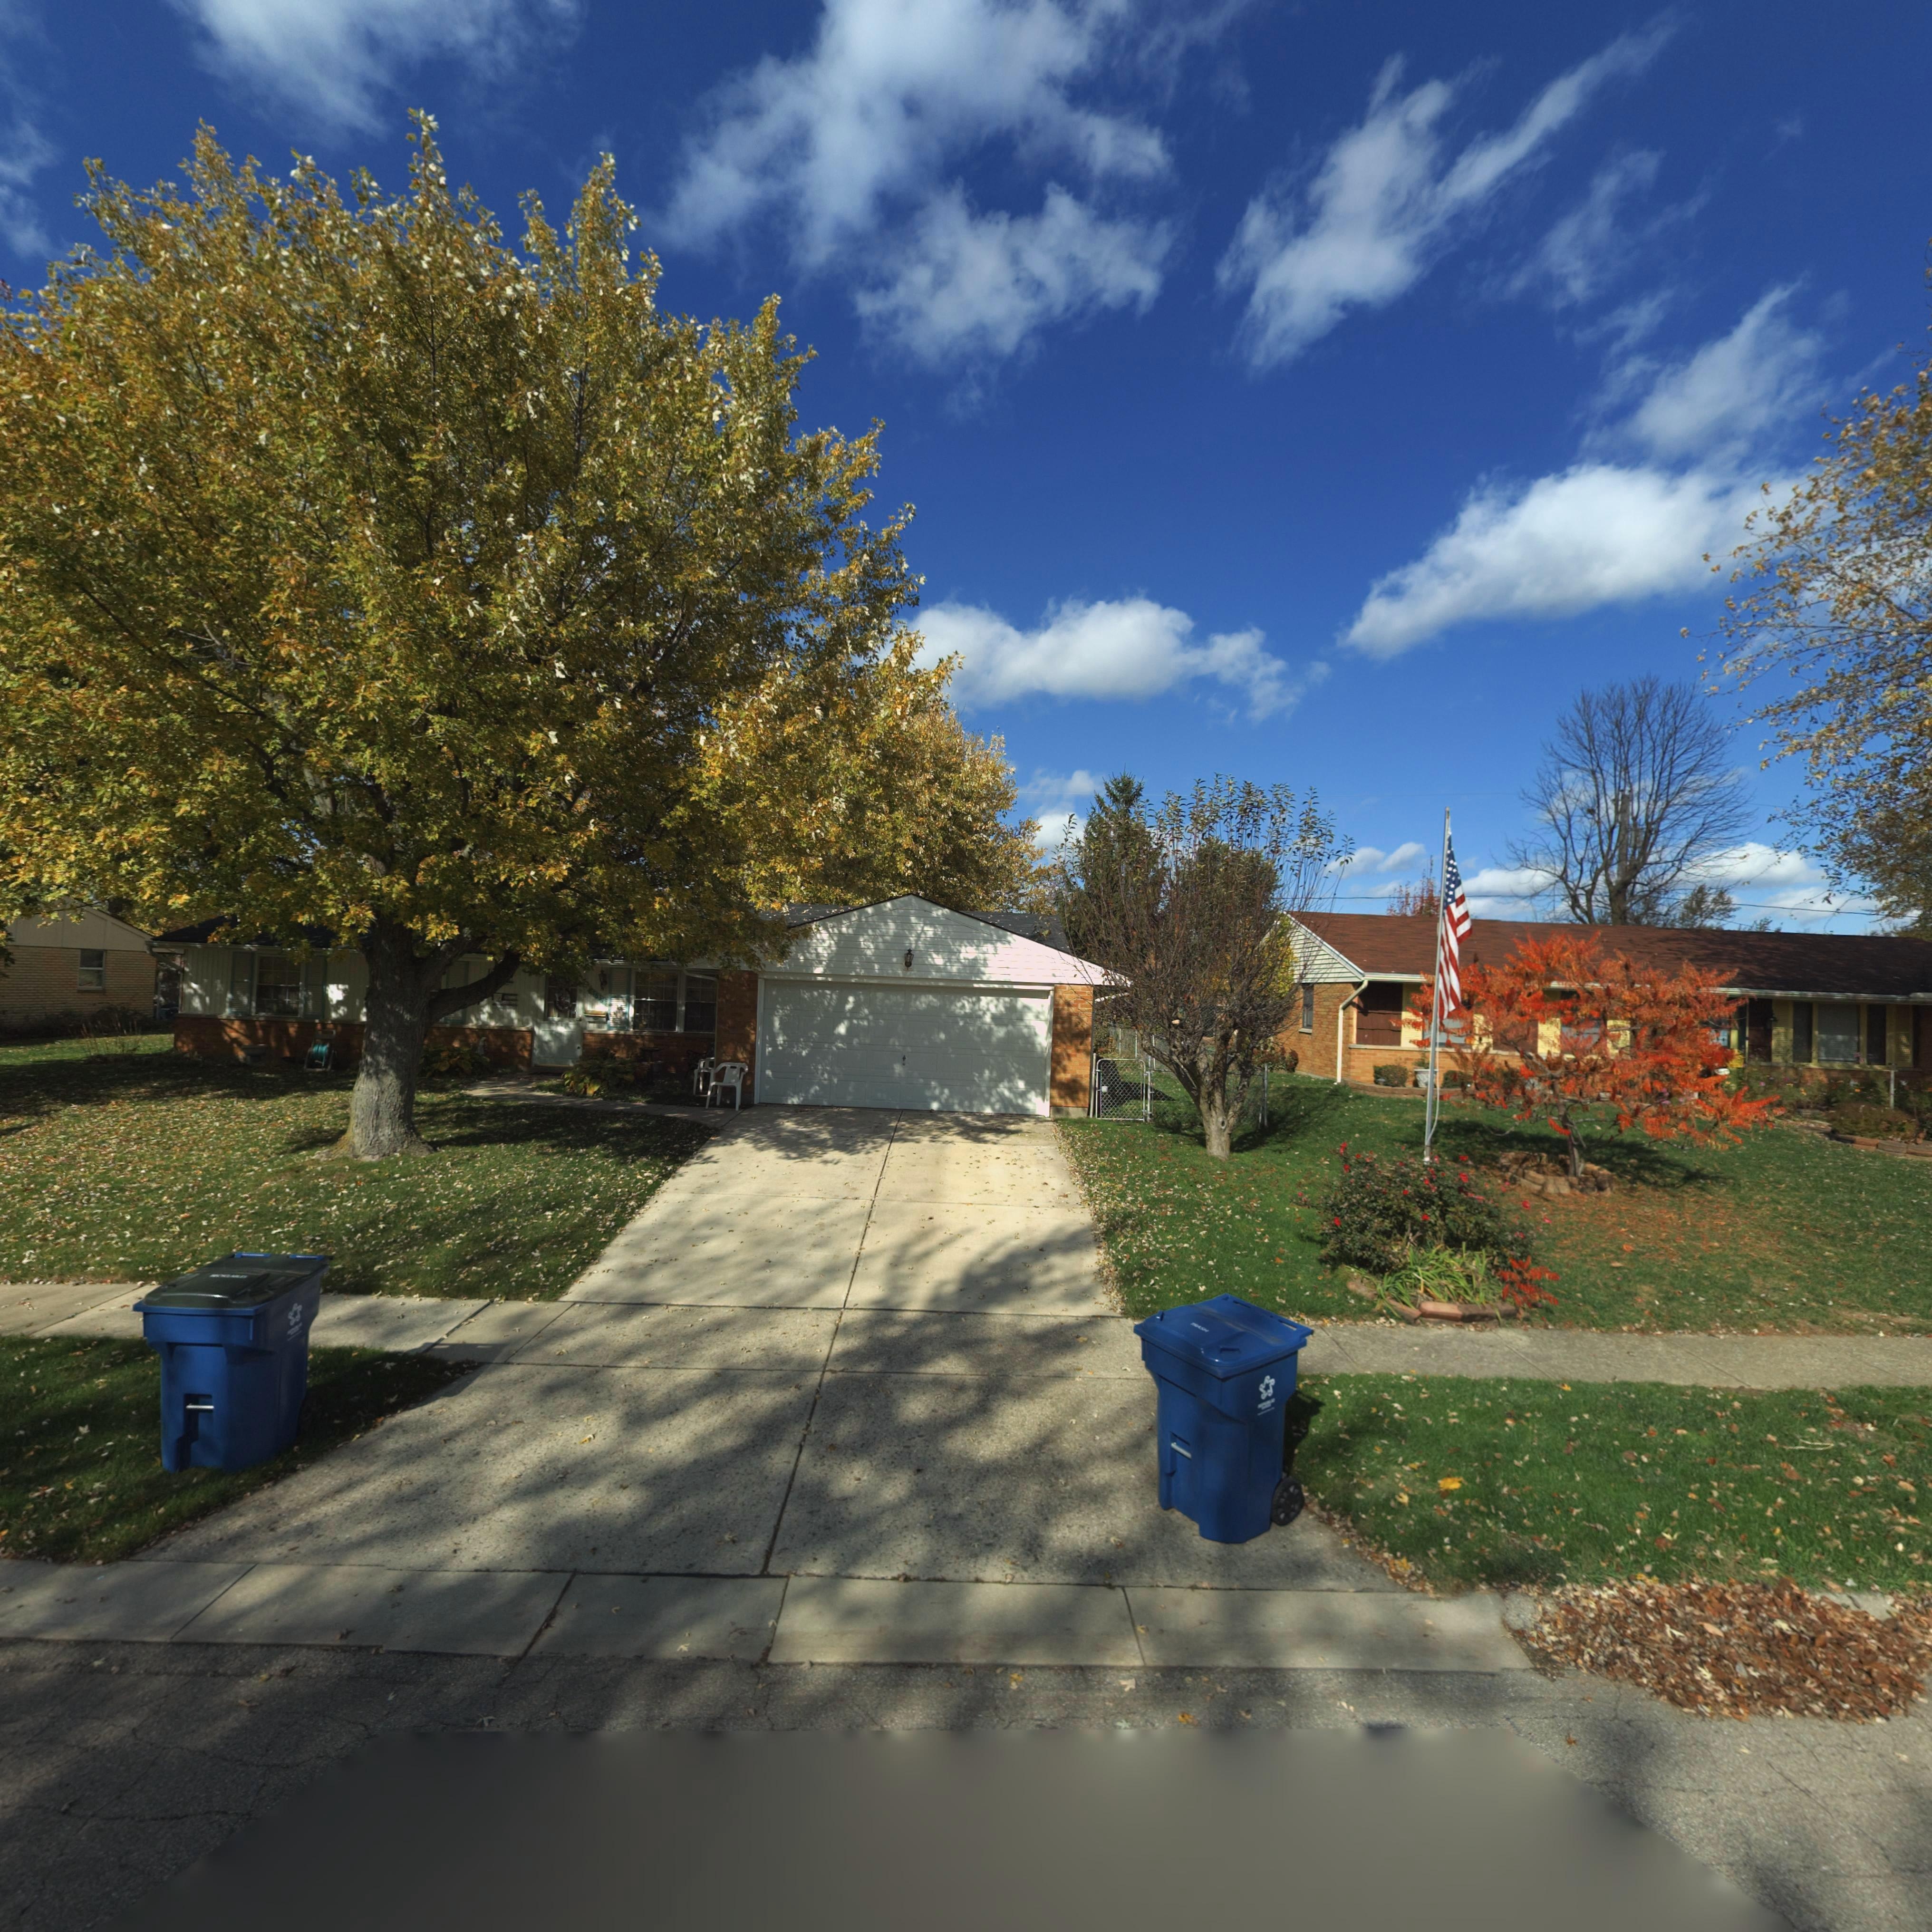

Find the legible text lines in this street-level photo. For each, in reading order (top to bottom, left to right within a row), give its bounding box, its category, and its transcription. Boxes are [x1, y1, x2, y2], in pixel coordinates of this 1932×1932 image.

[592, 989, 605, 1004] StreetNumber: 763*